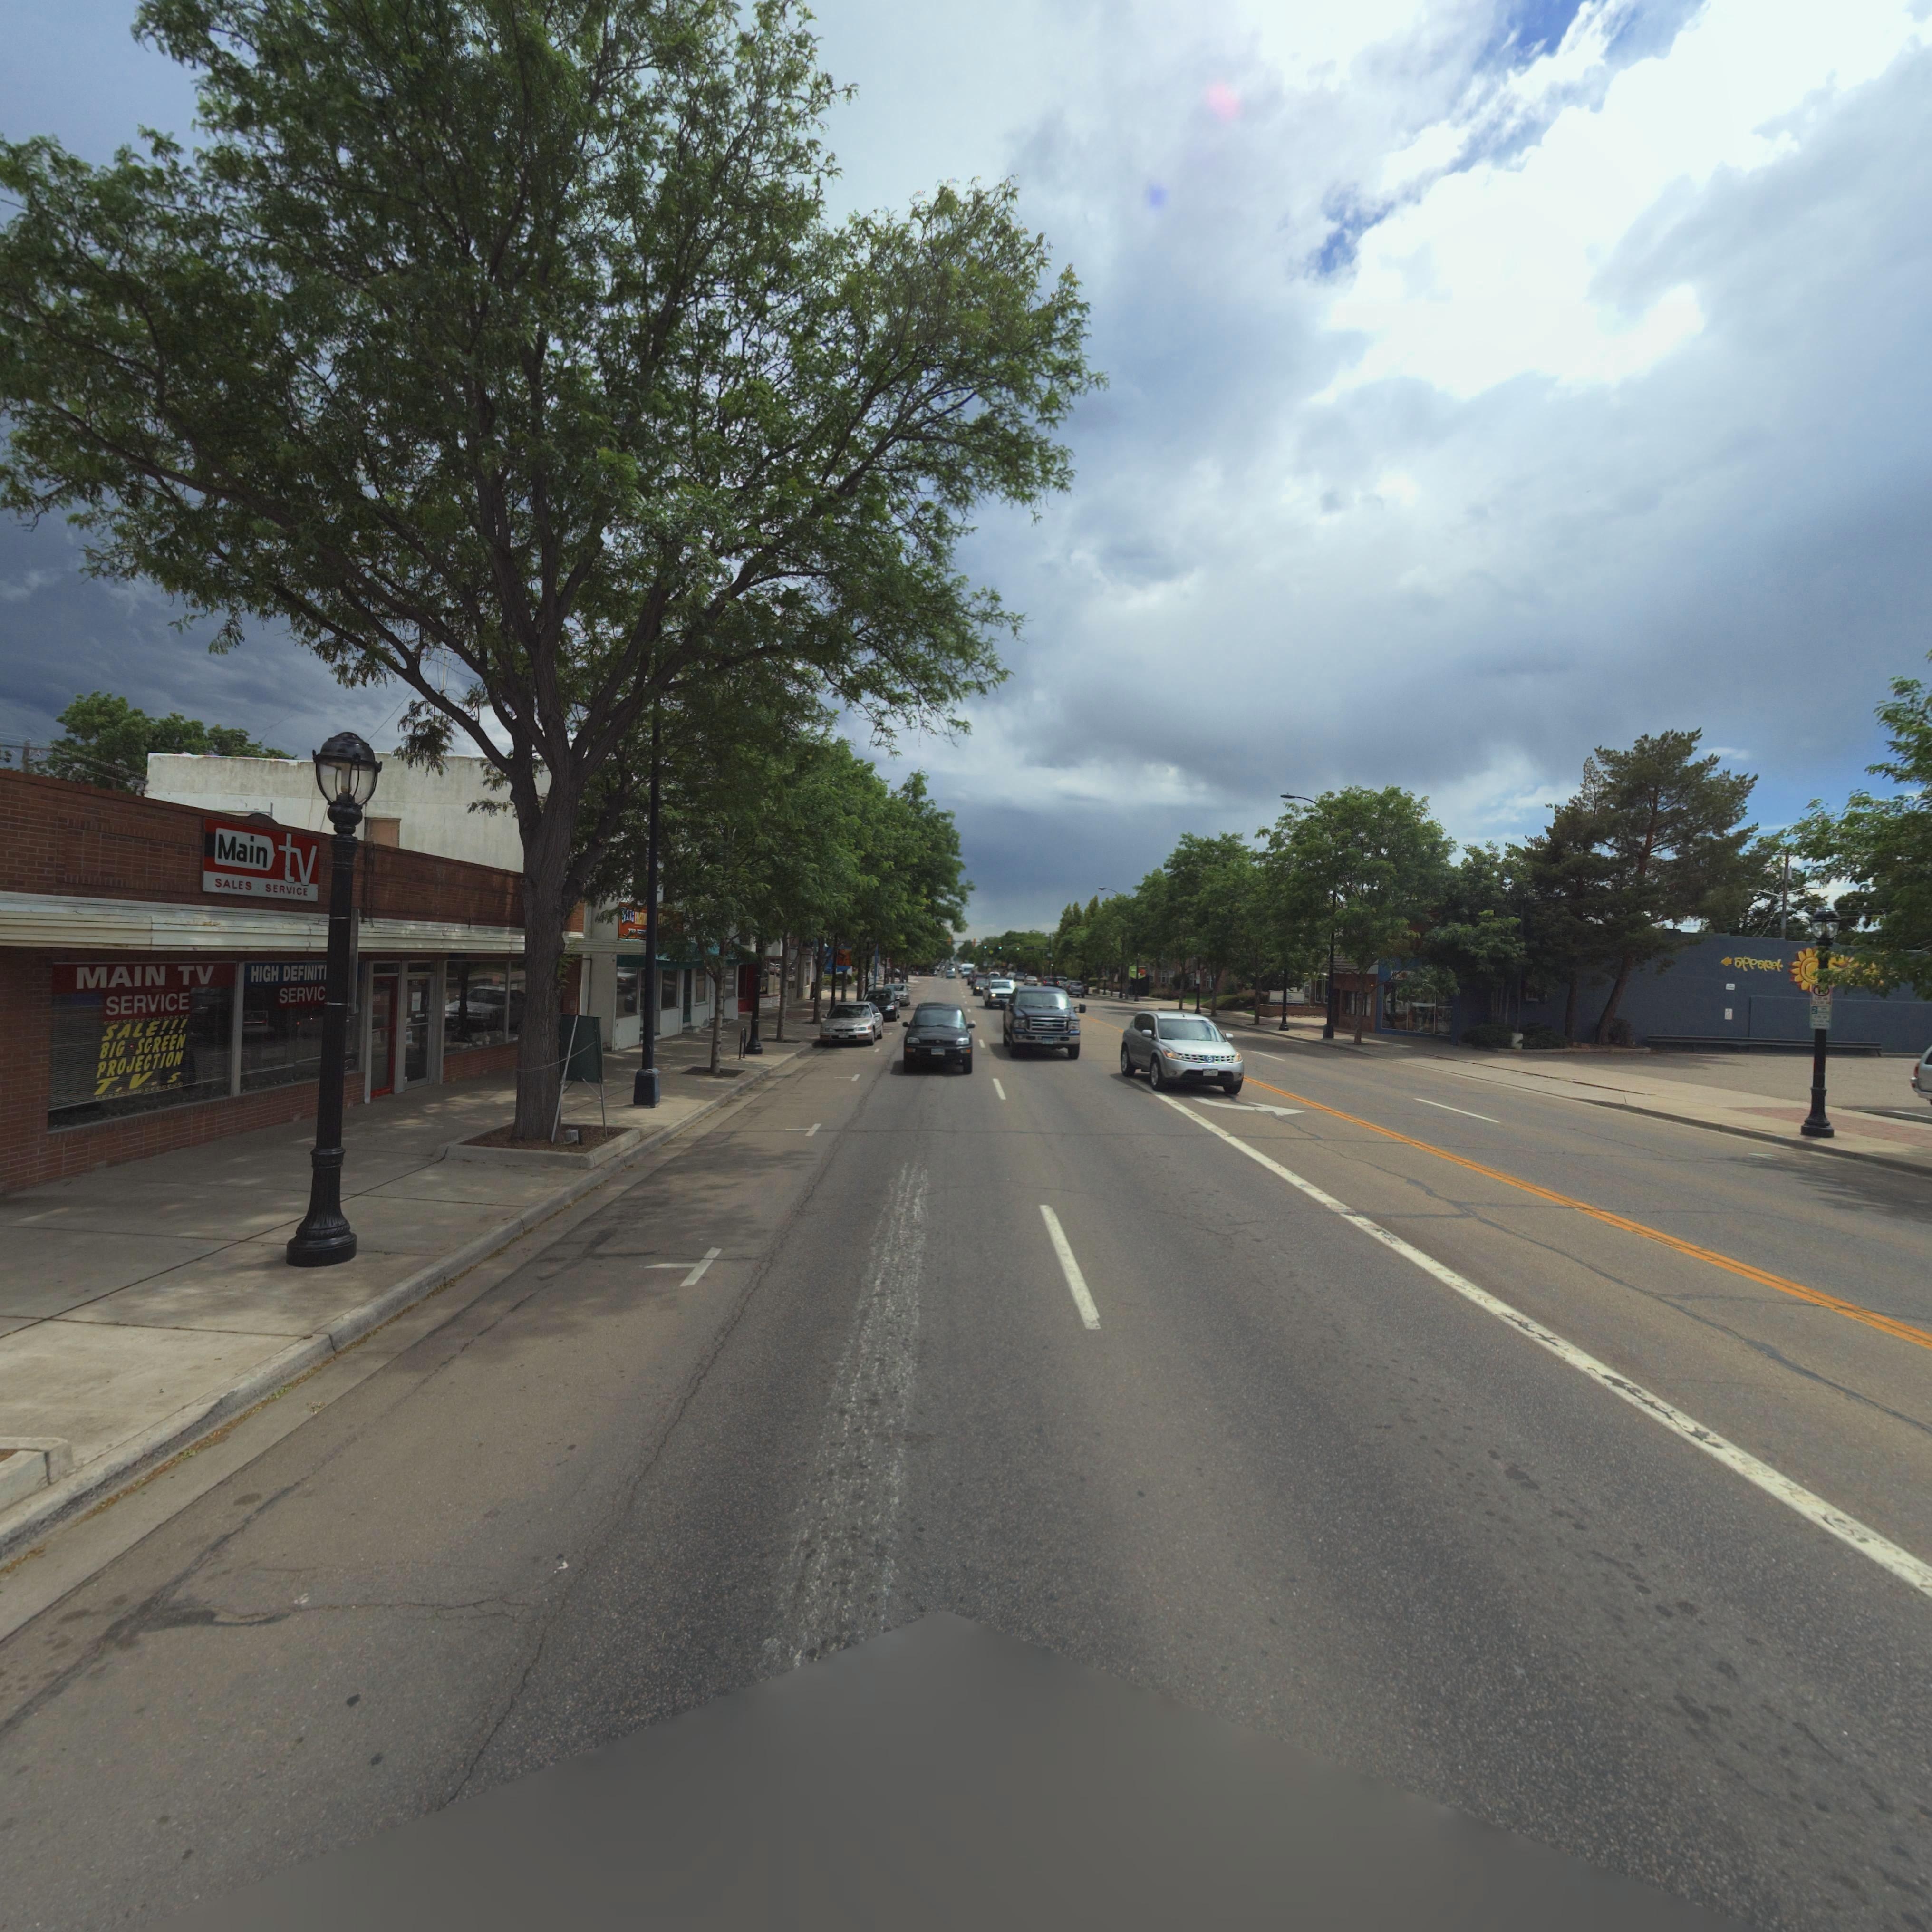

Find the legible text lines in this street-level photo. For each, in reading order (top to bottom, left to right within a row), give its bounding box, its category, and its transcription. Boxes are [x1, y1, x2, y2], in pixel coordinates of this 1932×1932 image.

[217, 833, 268, 869] BusinessName: Main
[277, 832, 318, 886] BusinessName: tv
[634, 911, 643, 925] BusinessName: ELECT
[75, 965, 216, 990] StreetNumber: MAIN TV
[411, 980, 419, 985] StreetNumber: **4